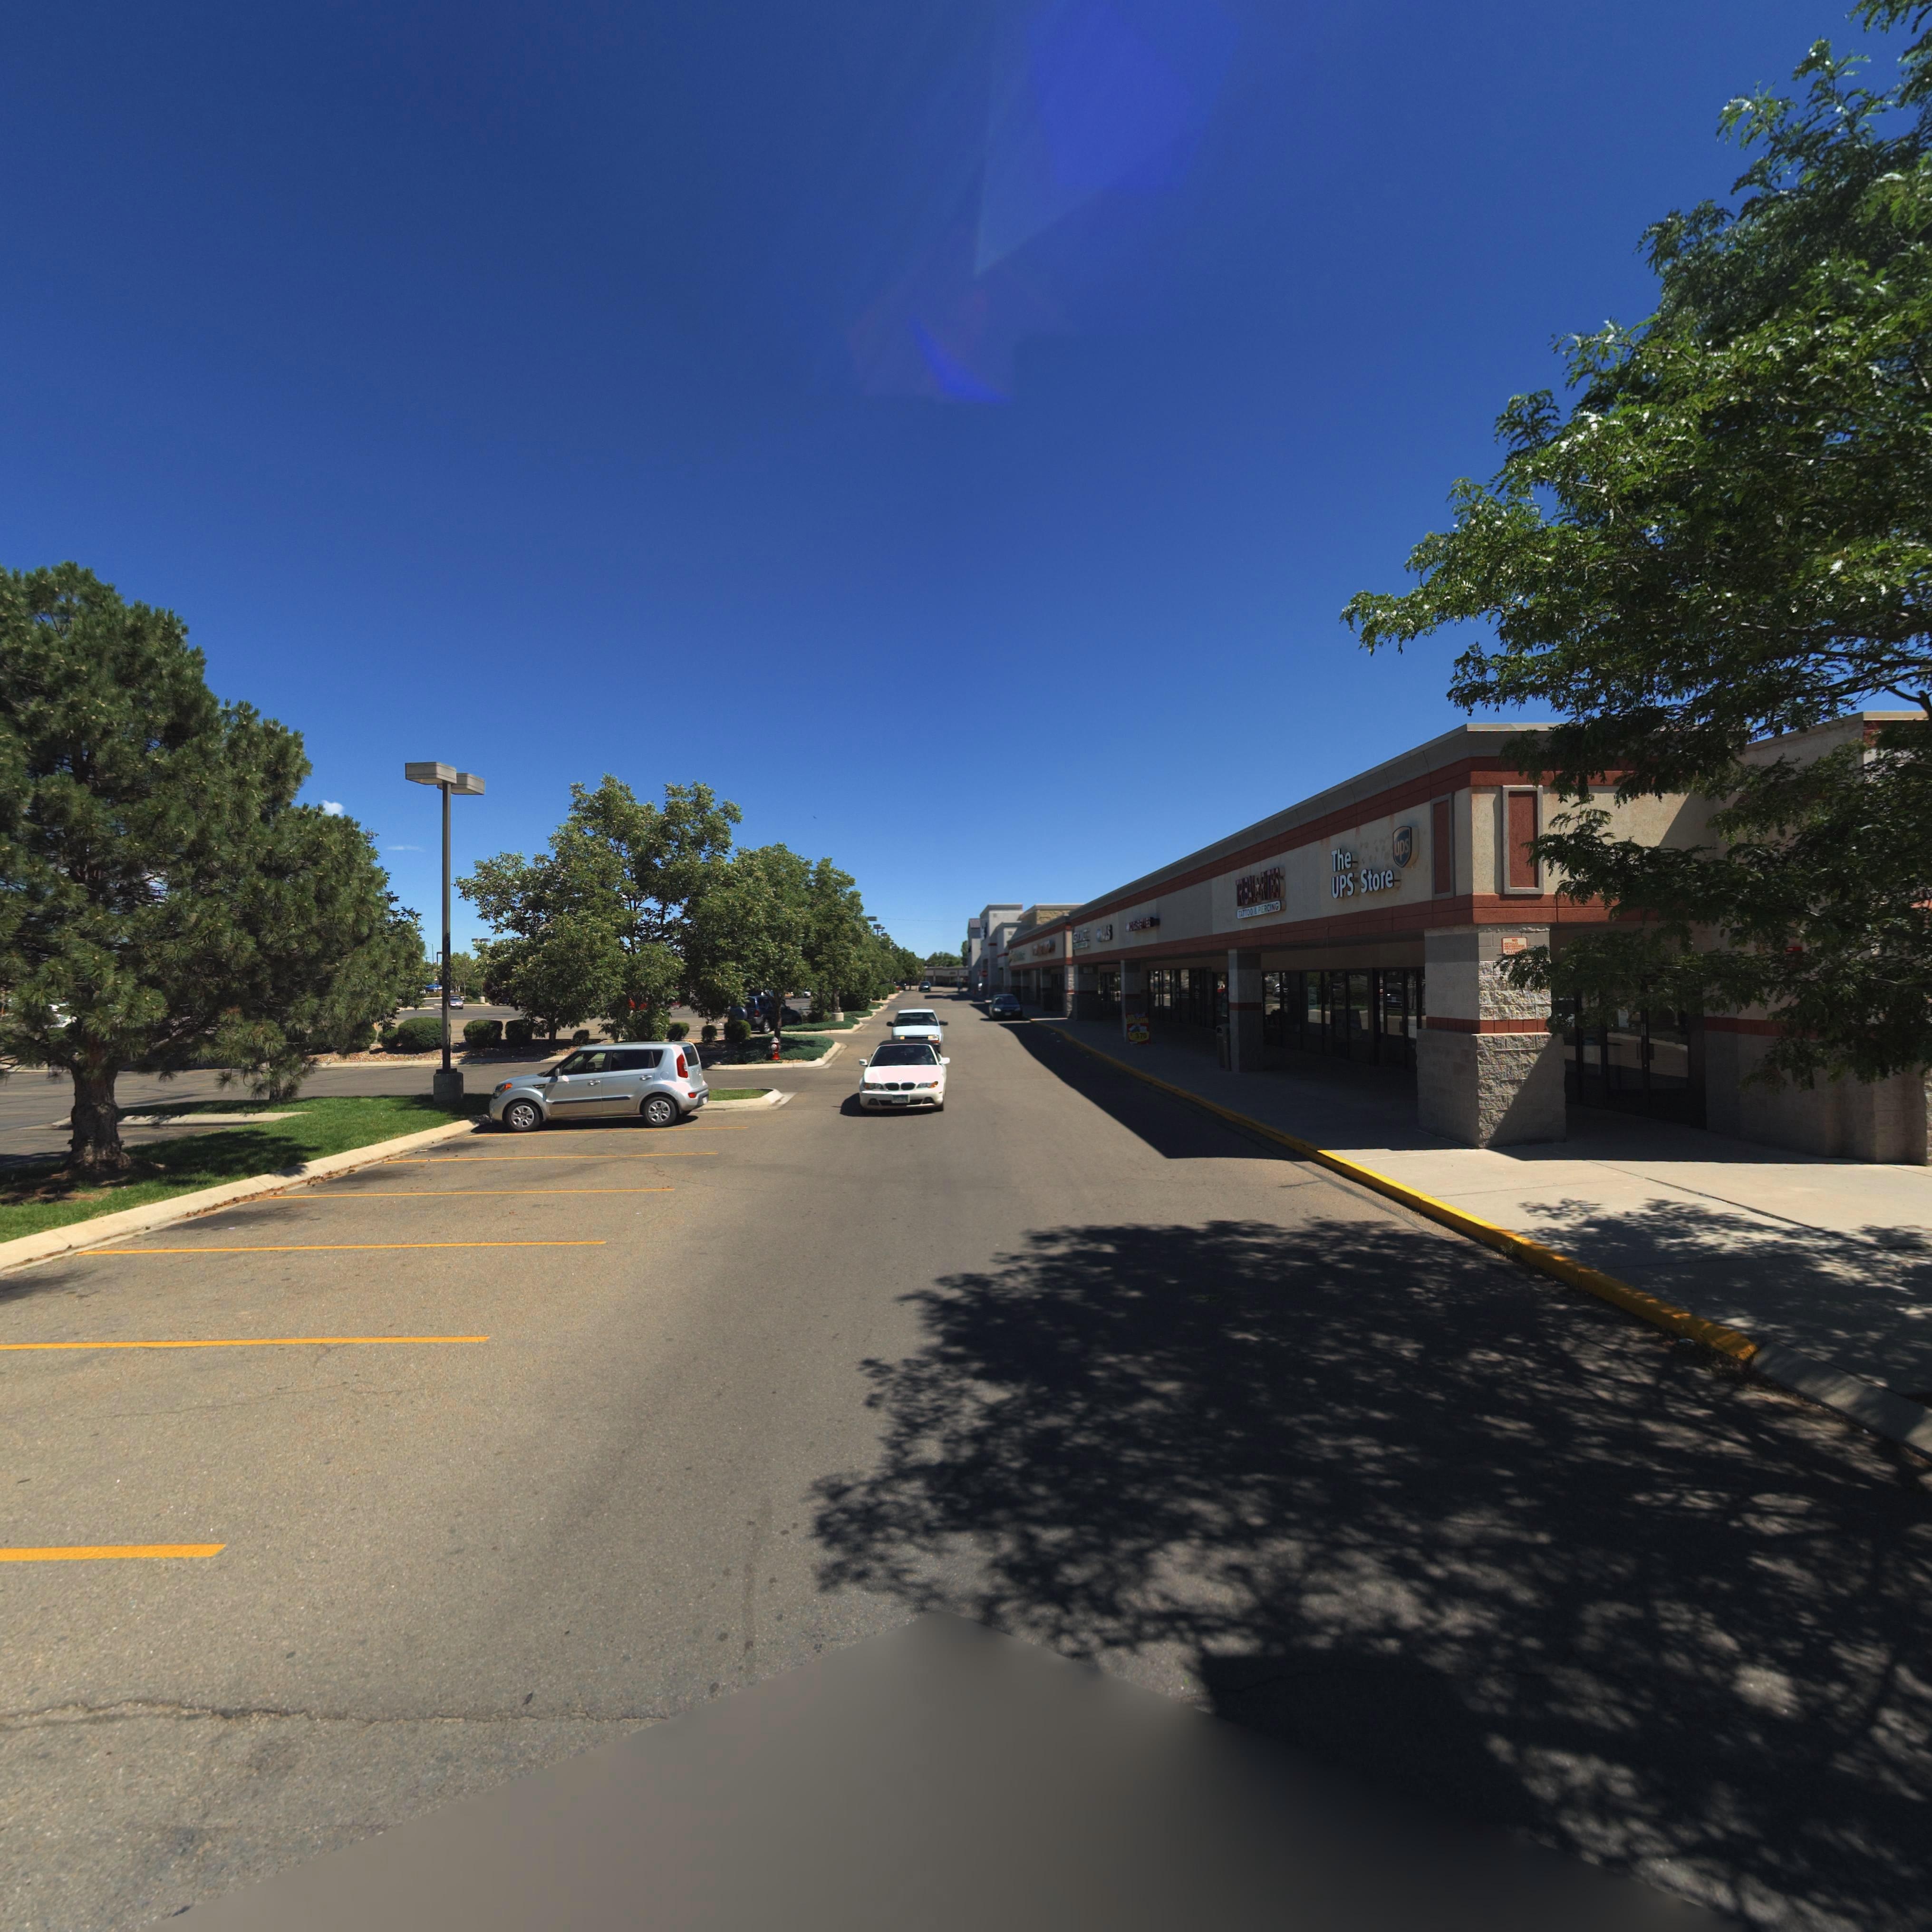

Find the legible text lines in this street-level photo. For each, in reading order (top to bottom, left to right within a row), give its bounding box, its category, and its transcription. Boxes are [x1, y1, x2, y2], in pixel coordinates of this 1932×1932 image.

[1330, 848, 1352, 872] BusinessName: The
[1395, 838, 1409, 860] BusinessName: UPS
[1236, 867, 1280, 907] BusinessName: TRIBAL*RITES
[1332, 869, 1393, 899] BusinessName: UPS Store
[1072, 927, 1088, 943] BusinessName: GNC
[1099, 924, 1111, 942] BusinessName: ***S
[1129, 916, 1151, 932] BusinessName: C*G*RETTES